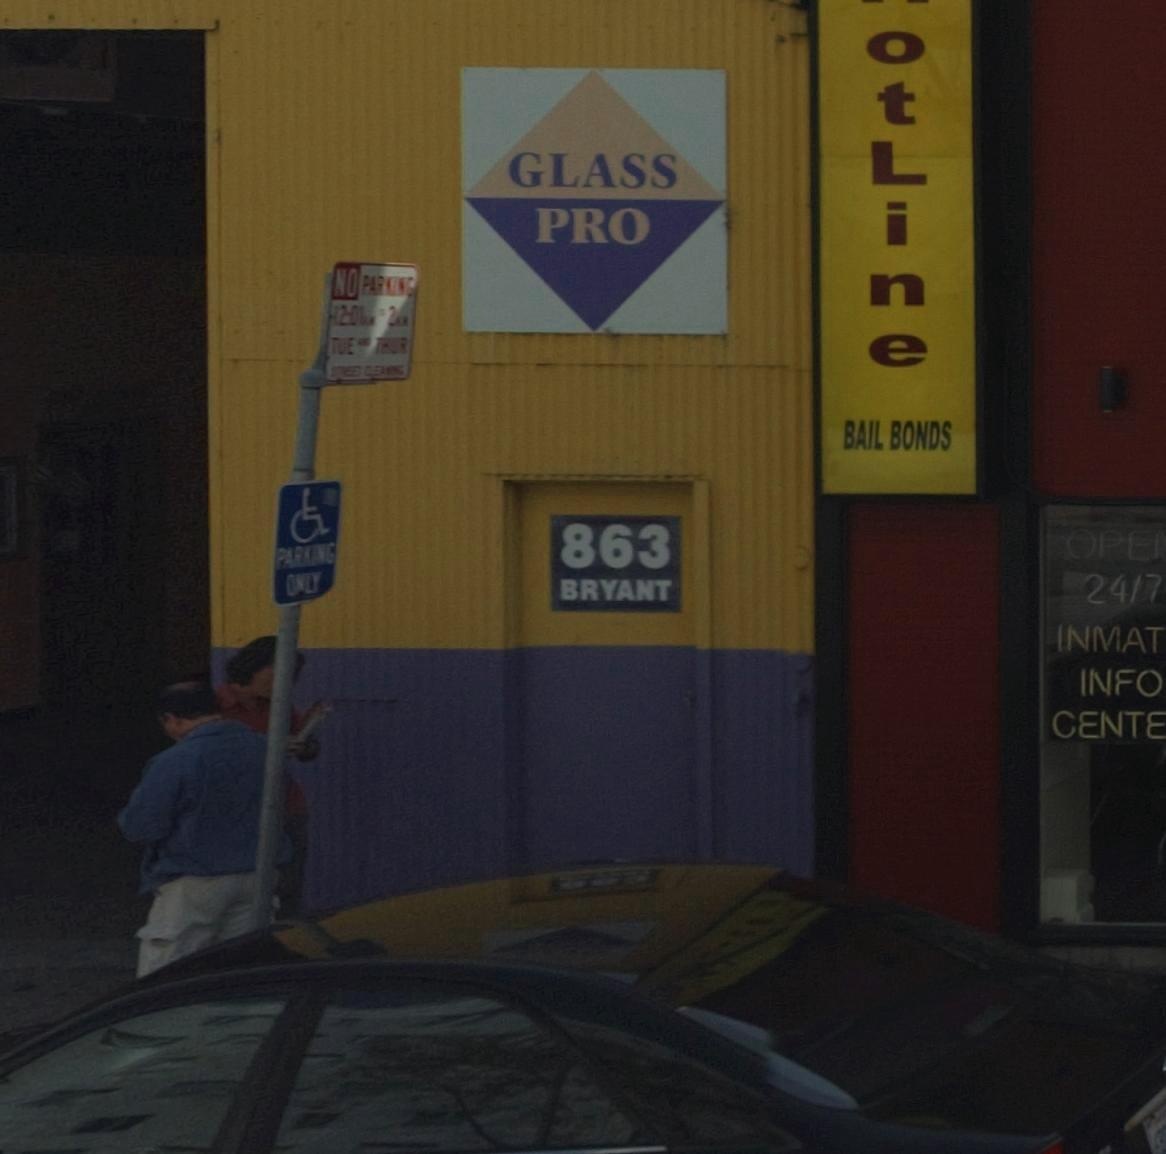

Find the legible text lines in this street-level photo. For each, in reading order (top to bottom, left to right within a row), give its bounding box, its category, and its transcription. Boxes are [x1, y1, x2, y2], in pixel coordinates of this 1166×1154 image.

[505, 146, 684, 195] BusinessName: GLASS
[862, 28, 931, 371] BusinessName: otLine
[530, 203, 658, 250] BusinessName: PRO
[328, 263, 418, 301] None: NO PARKING
[331, 302, 361, 329] None: 12:0
[385, 302, 413, 330] None: 2AM
[328, 333, 358, 359] None: TUE
[370, 333, 411, 357] None: THUR
[838, 415, 956, 455] BusinessName: BAIL BONDS
[270, 536, 340, 574] None: PARKING
[556, 519, 676, 574] StreetNumber: 863
[1061, 524, 1154, 568] None: OPE
[282, 569, 326, 604] None: ONLY
[557, 573, 677, 608] StreetName: BRYANT
[1077, 568, 1166, 612] None: 2417
[1052, 618, 1166, 659] None: INMAT
[1073, 661, 1165, 702] None: INFO
[1047, 704, 1165, 745] None: CENTE